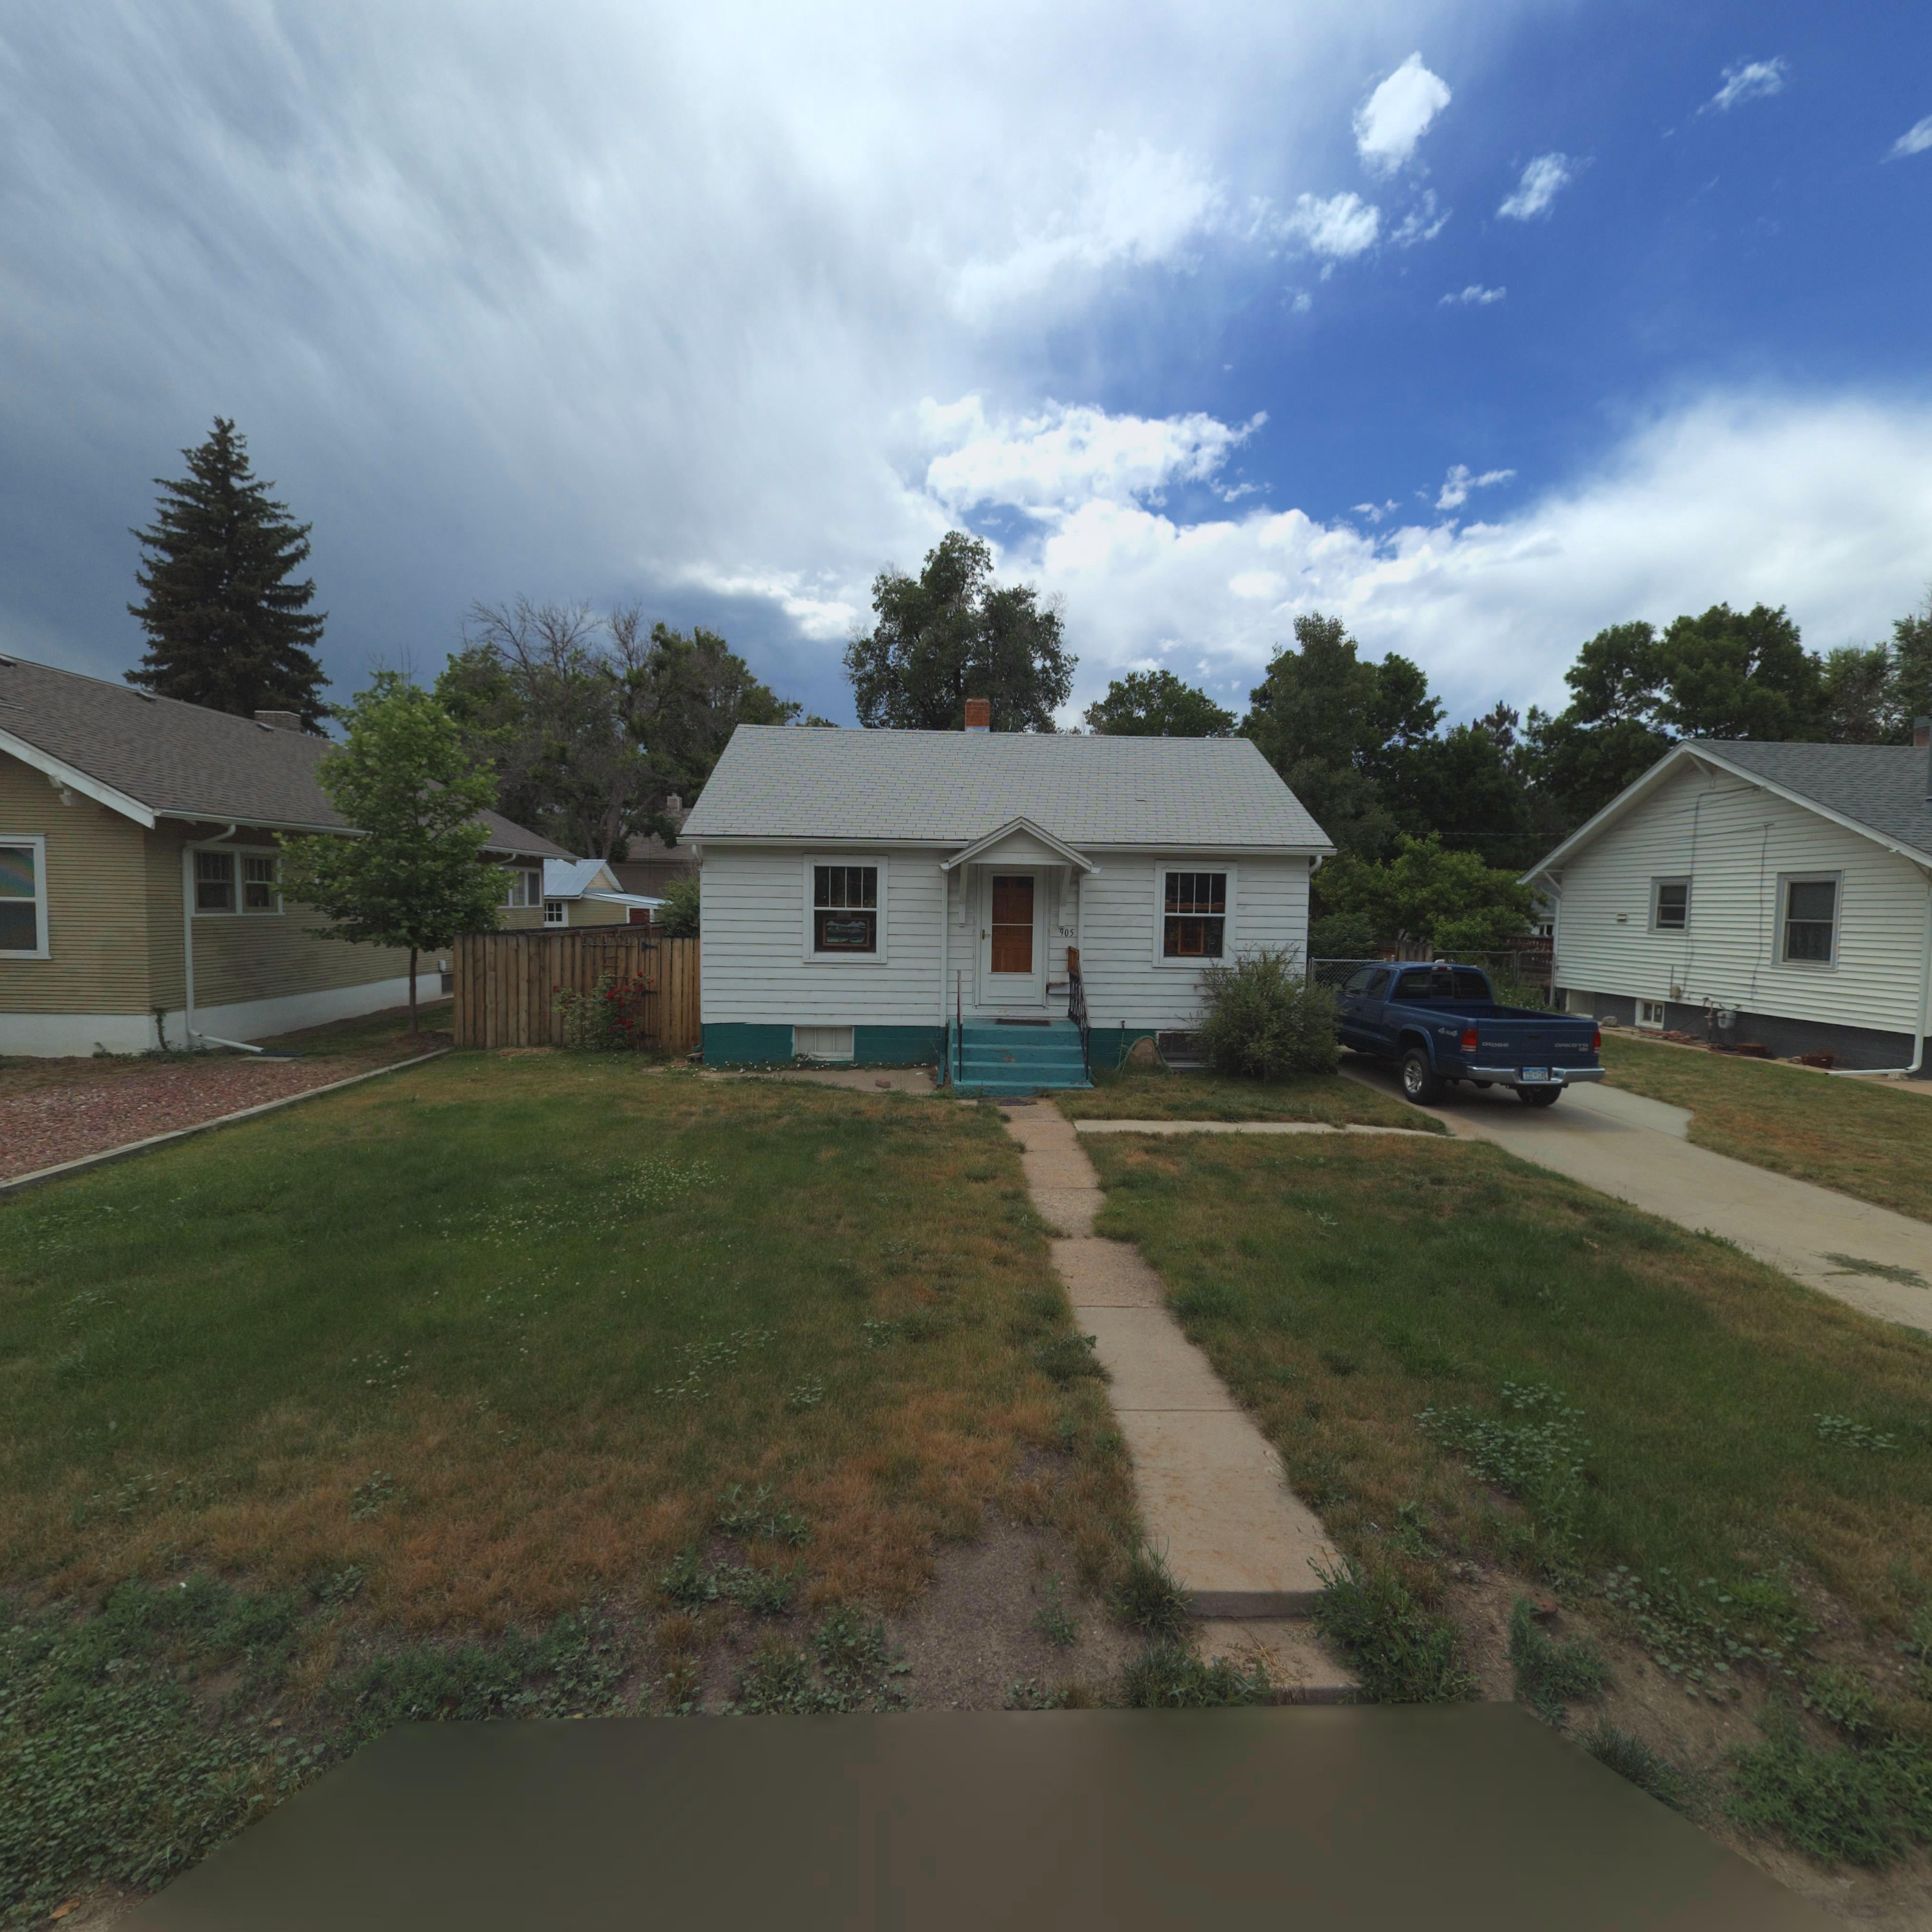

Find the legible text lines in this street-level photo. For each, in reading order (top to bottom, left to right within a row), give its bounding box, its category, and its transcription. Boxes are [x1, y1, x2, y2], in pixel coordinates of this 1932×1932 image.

[1059, 928, 1074, 937] StreetNumber: 905